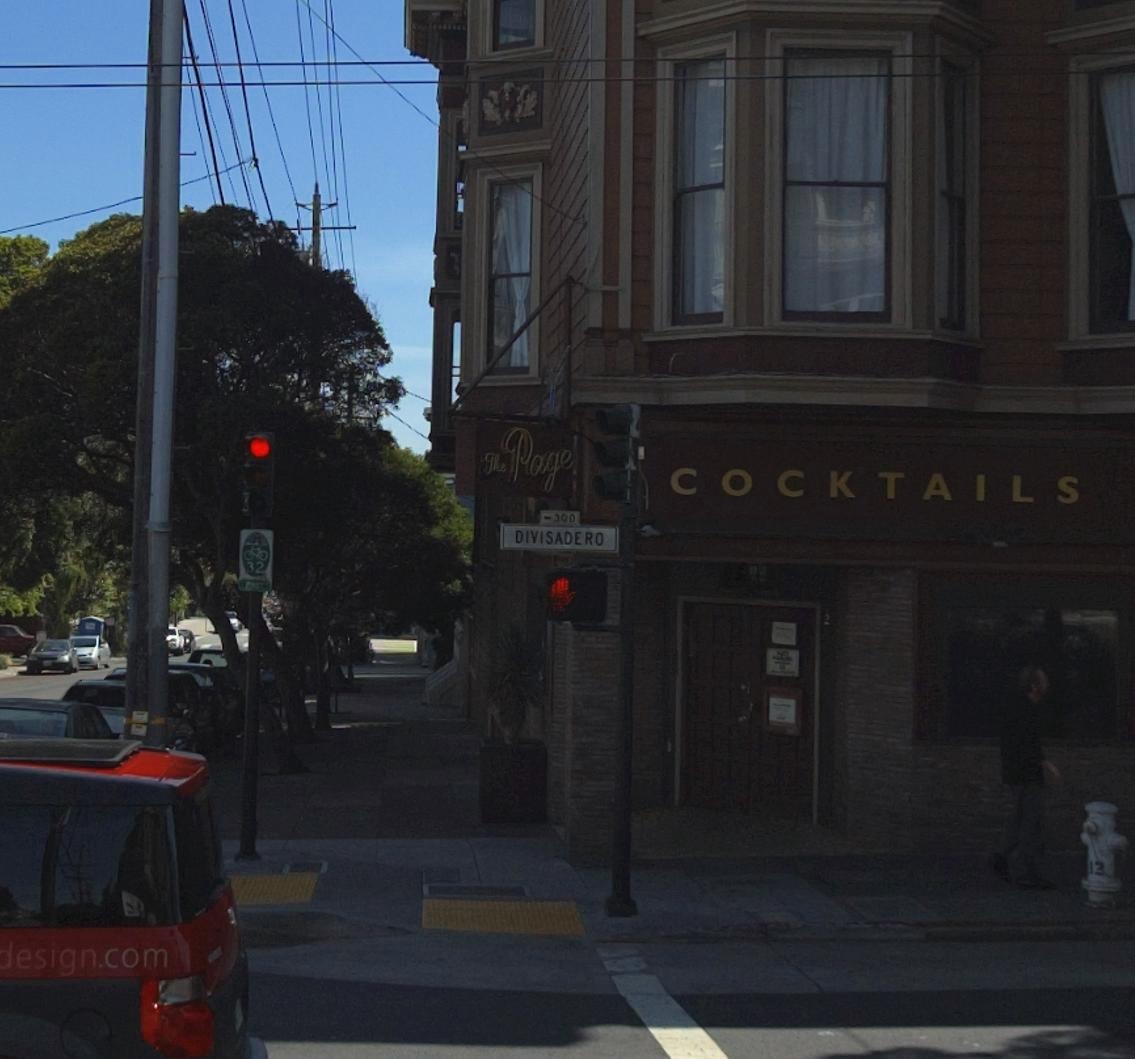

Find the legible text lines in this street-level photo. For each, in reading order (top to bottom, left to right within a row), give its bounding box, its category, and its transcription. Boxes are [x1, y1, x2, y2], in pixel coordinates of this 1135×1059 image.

[482, 451, 509, 480] BusinessName: The
[496, 425, 574, 496] BusinessName: Page
[663, 462, 1081, 507] BusinessName: COCKTAILS
[540, 512, 578, 524] StreetNumberRange: <-300
[514, 528, 604, 546] StreetName: DIVISADERO
[245, 560, 264, 573] None: 32
[0, 941, 167, 975] None: *esign.com